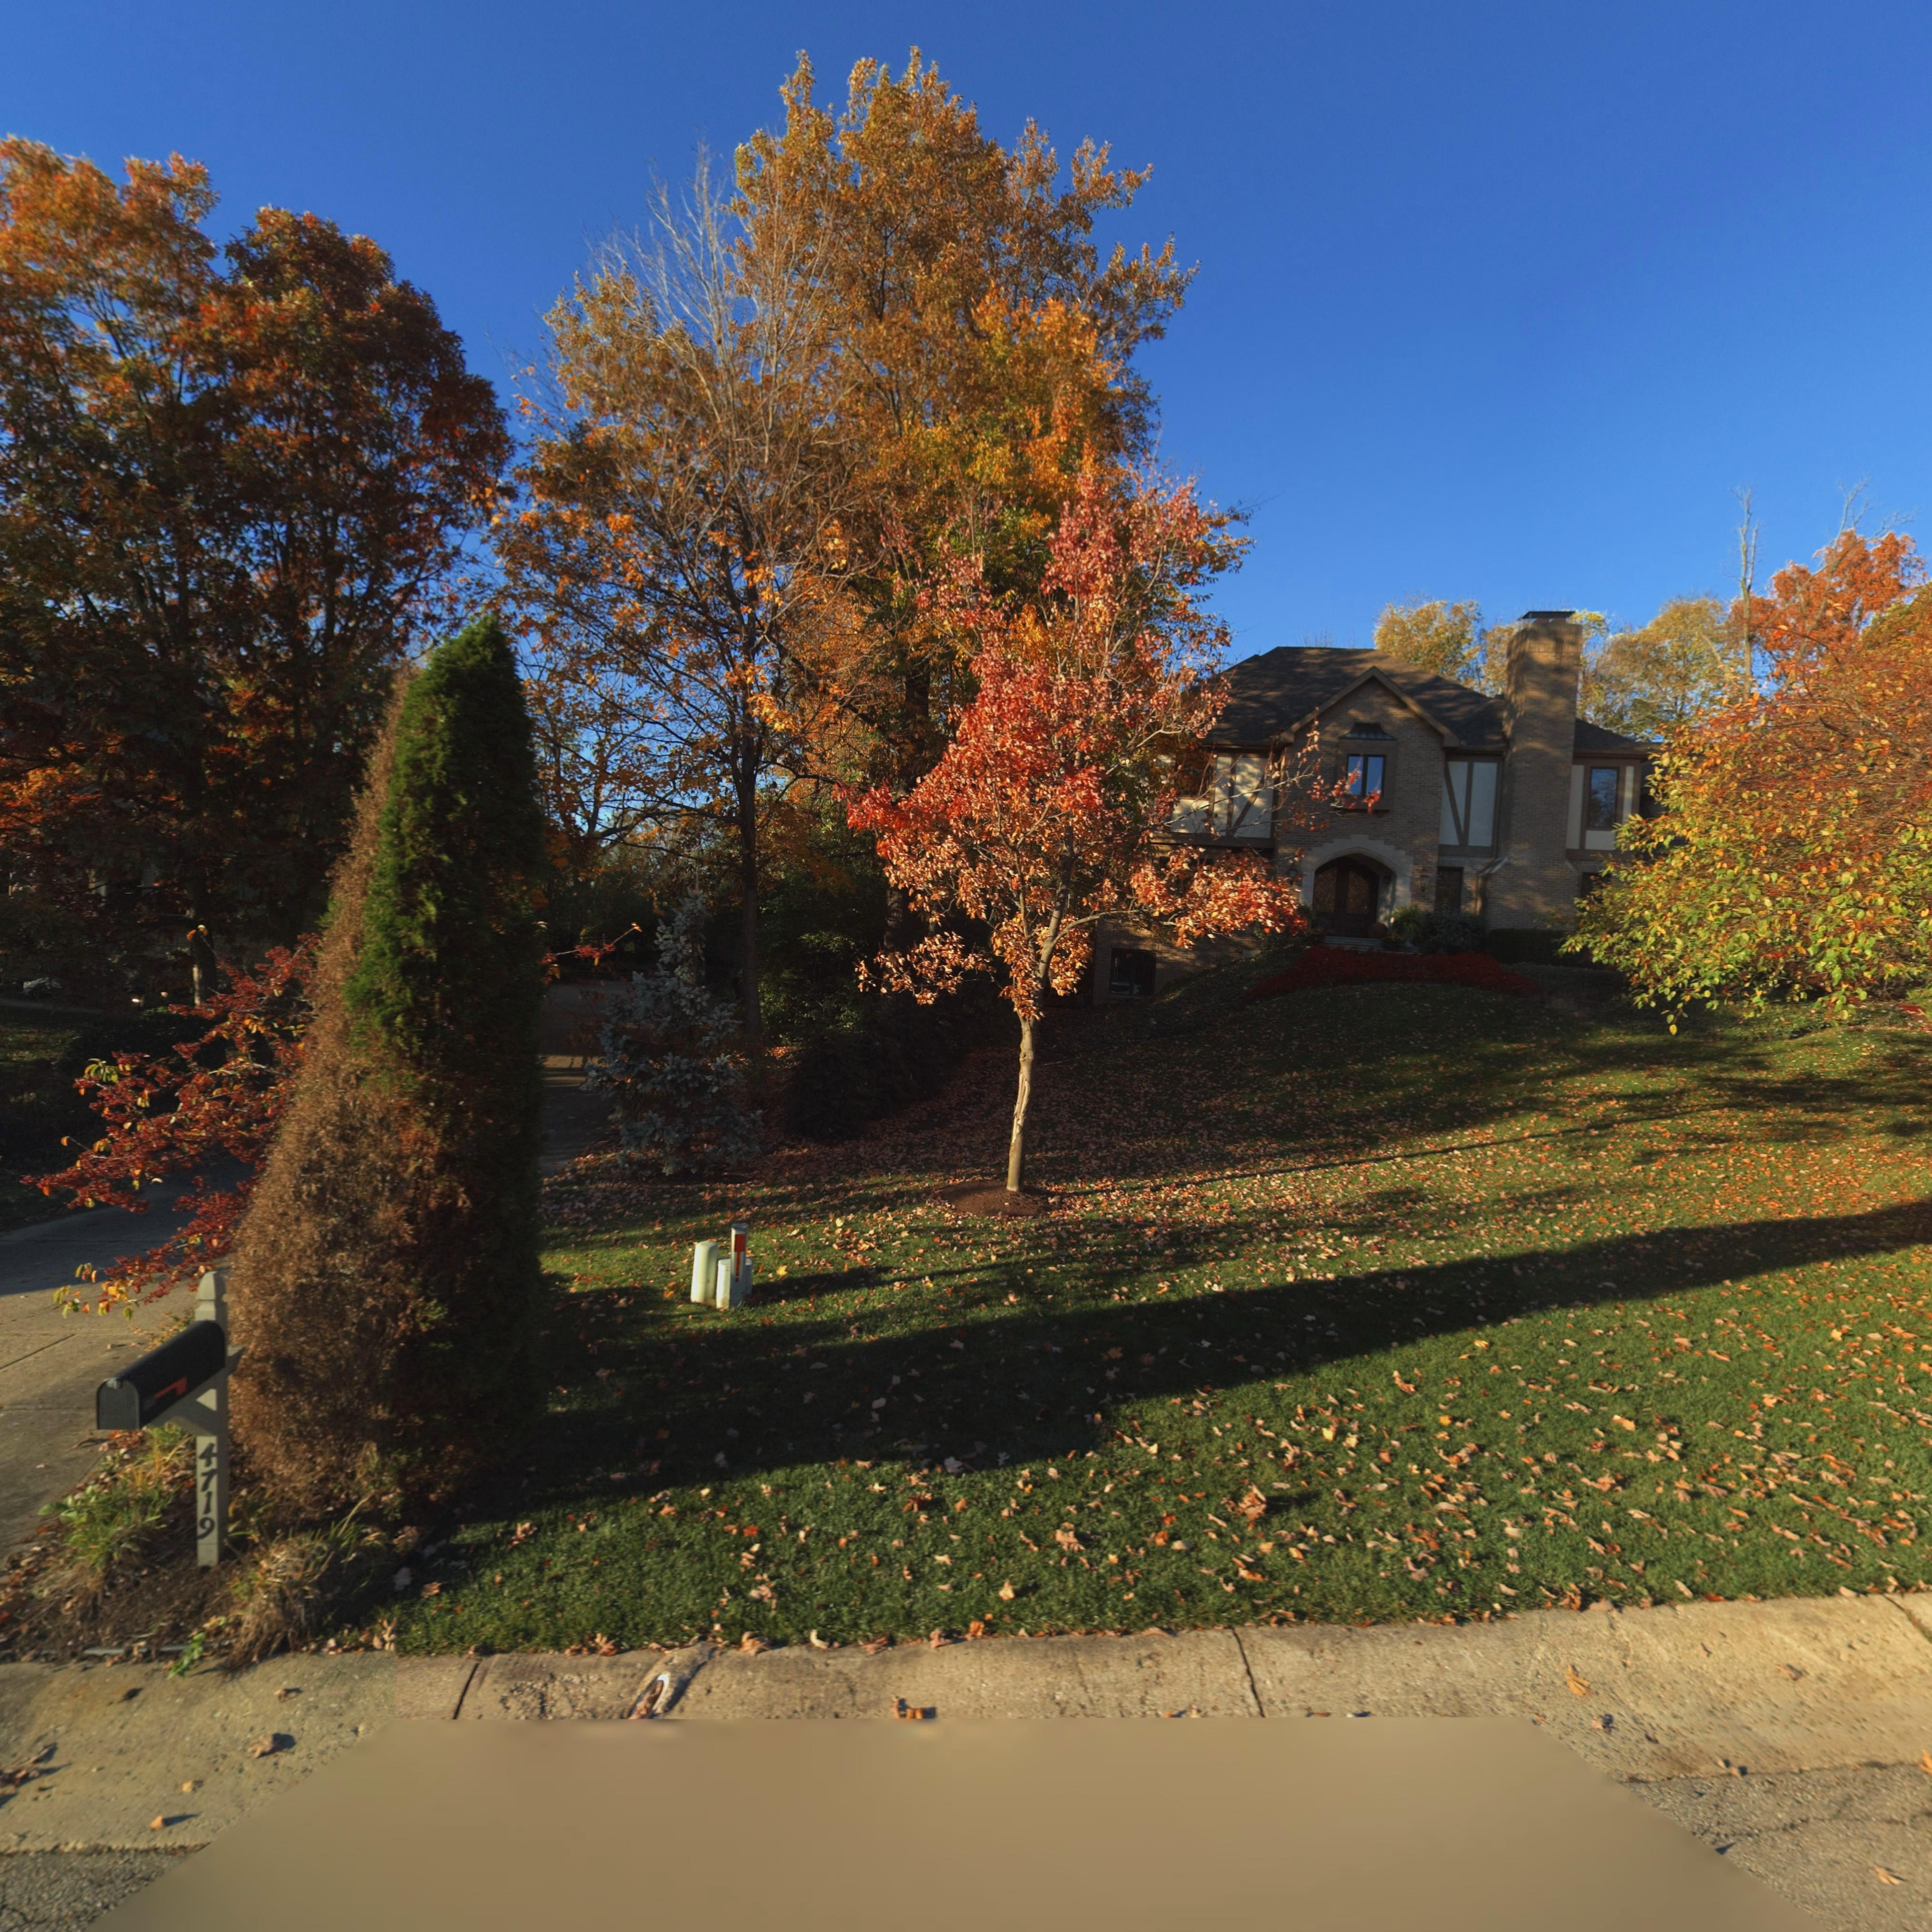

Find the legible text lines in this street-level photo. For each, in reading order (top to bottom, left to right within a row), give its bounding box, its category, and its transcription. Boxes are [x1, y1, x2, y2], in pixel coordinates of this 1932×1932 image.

[195, 1438, 218, 1541] StreetNumber: 4719